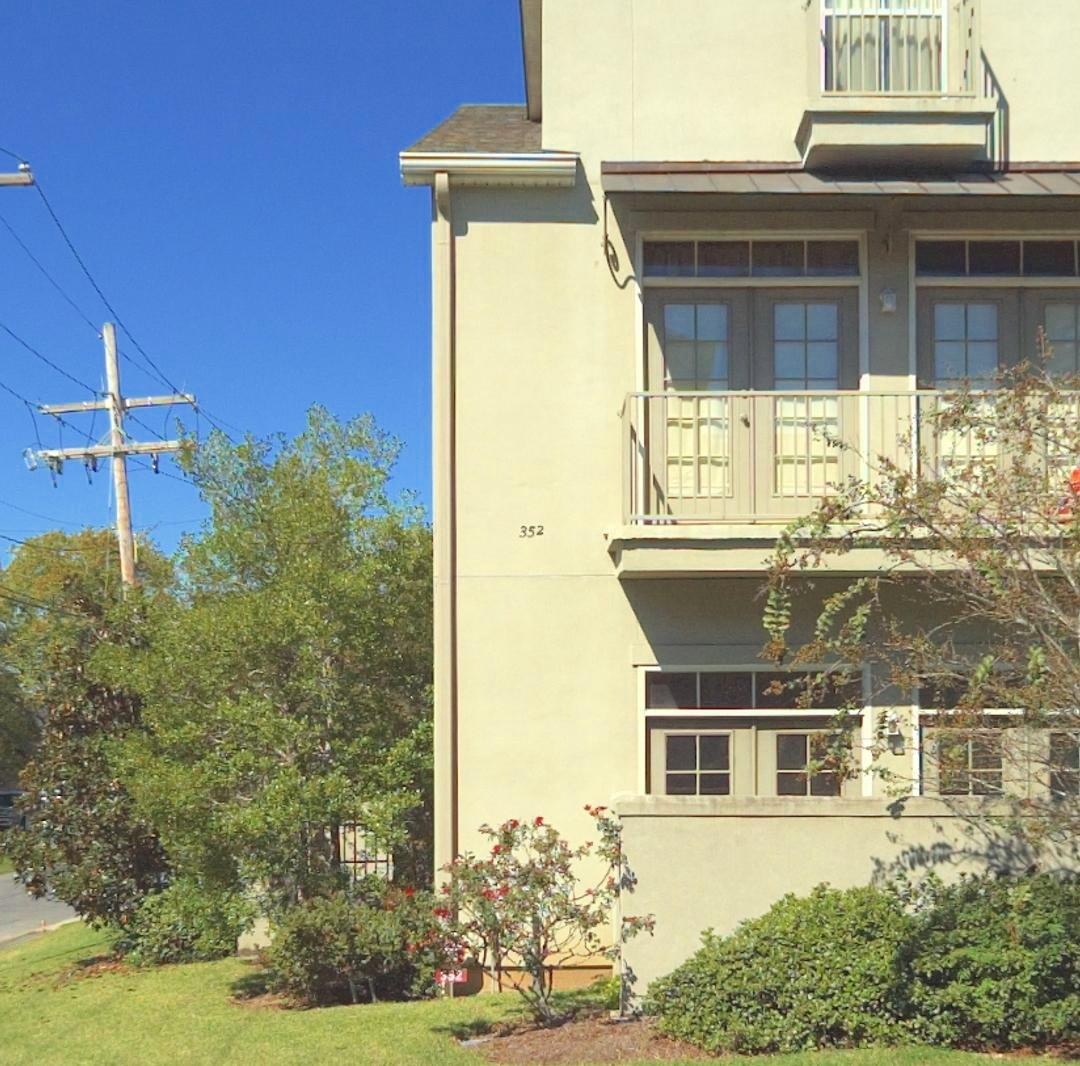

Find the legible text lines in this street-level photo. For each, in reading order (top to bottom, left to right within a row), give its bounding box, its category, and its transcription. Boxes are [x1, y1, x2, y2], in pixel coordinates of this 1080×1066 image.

[519, 524, 544, 539] StreetNumber: 352